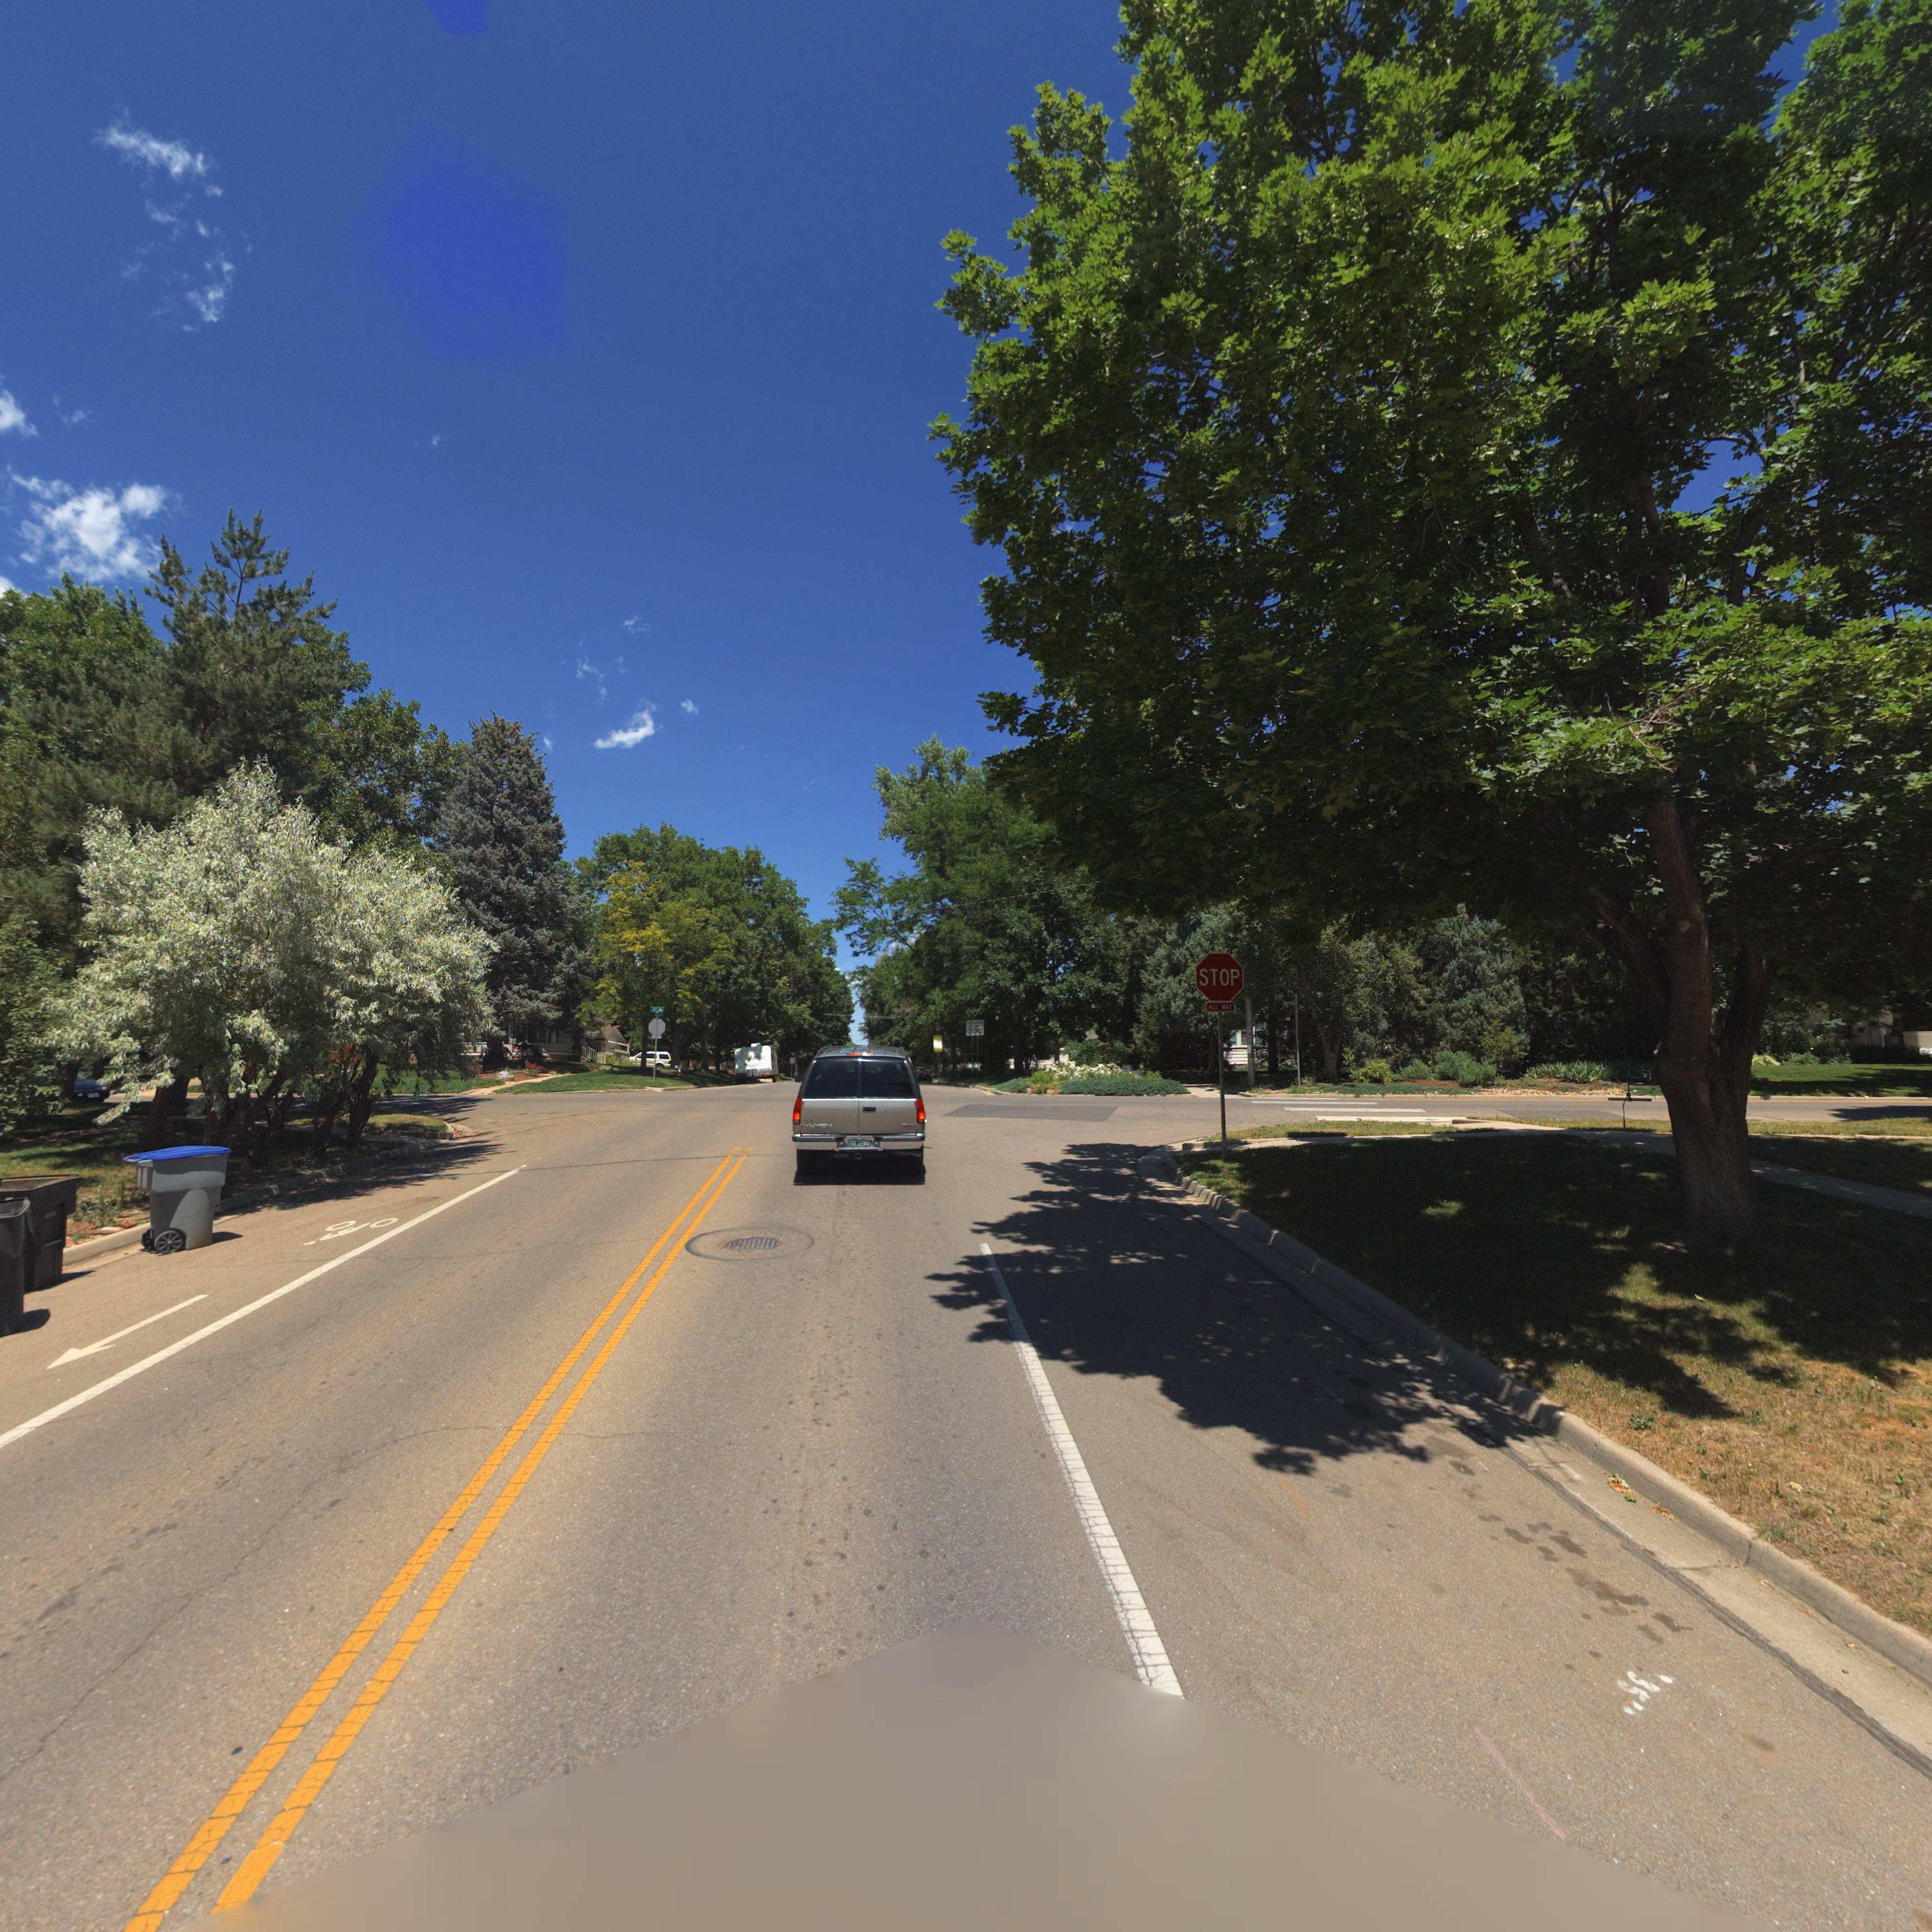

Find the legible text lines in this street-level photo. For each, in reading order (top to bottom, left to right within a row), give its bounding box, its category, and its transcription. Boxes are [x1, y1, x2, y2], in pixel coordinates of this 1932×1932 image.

[1199, 968, 1239, 985] BusinessName: STOP